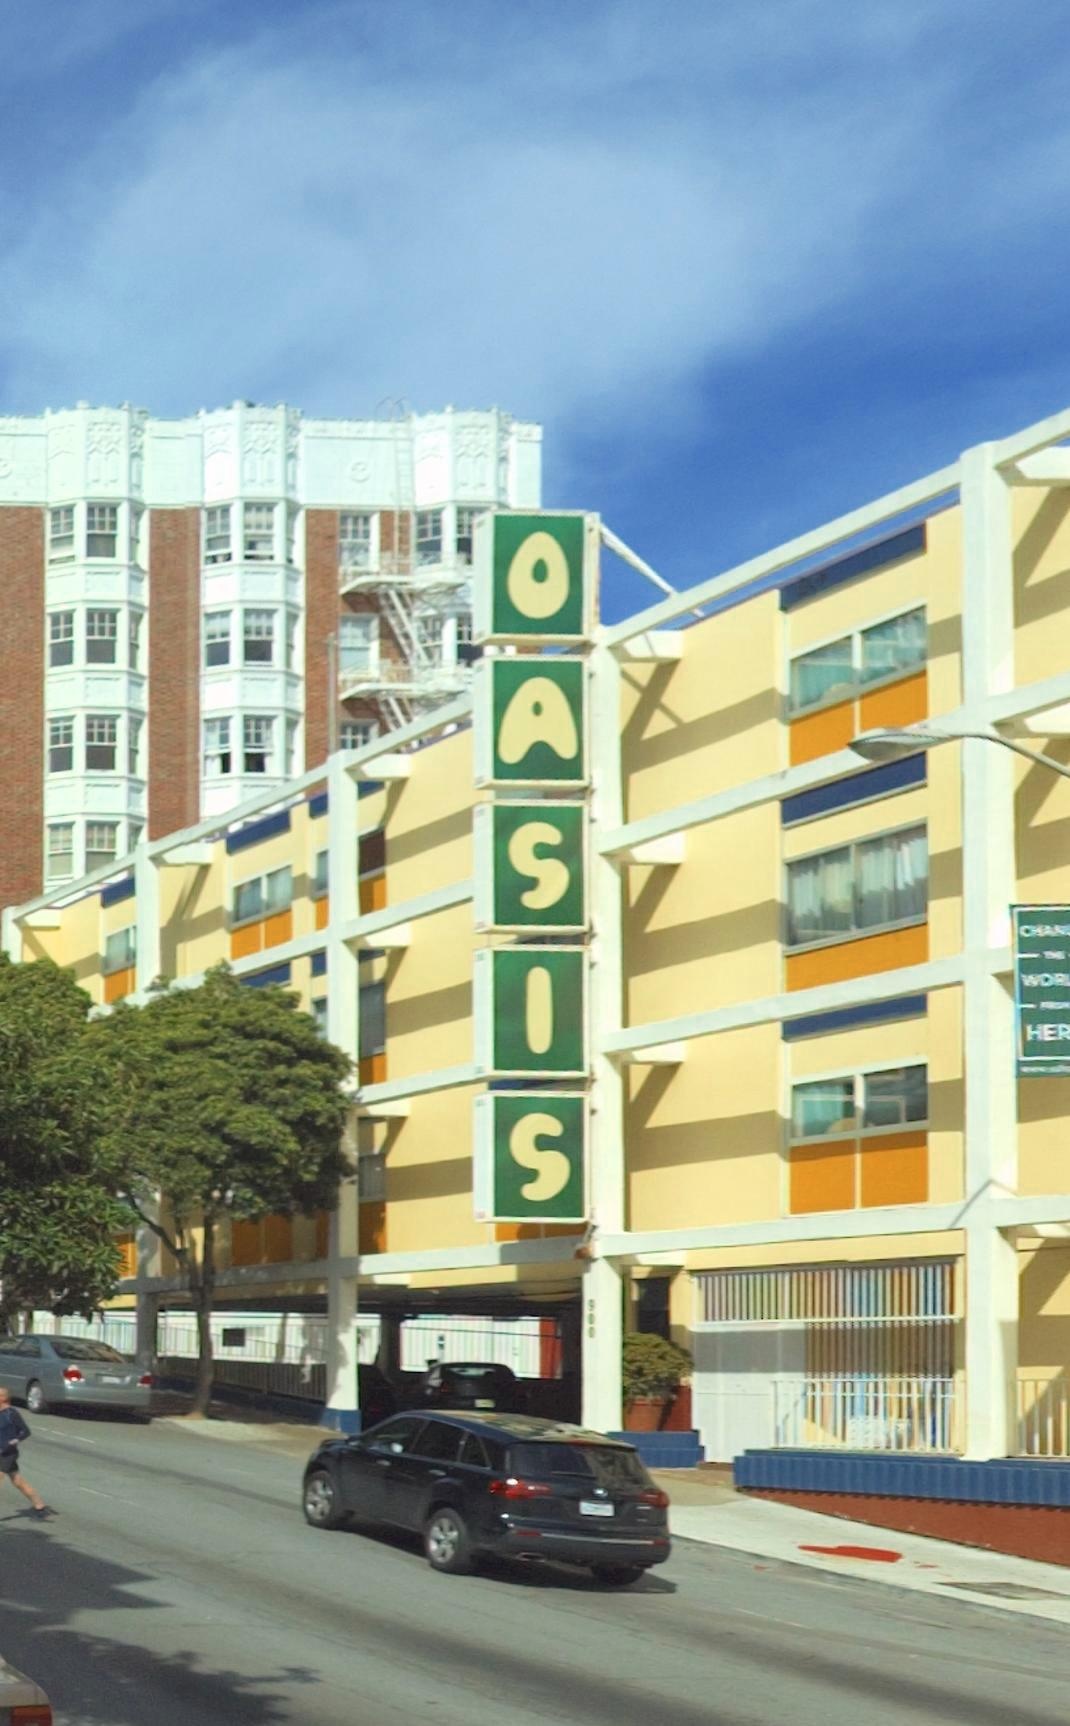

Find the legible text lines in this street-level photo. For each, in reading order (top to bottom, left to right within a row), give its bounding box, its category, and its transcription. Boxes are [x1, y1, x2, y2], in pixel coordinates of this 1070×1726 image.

[500, 526, 576, 1209] BusinessName: OASIS
[1016, 923, 1036, 941] None: C
[1016, 970, 1058, 991] None: WO
[1023, 1020, 1061, 1044] None: HE